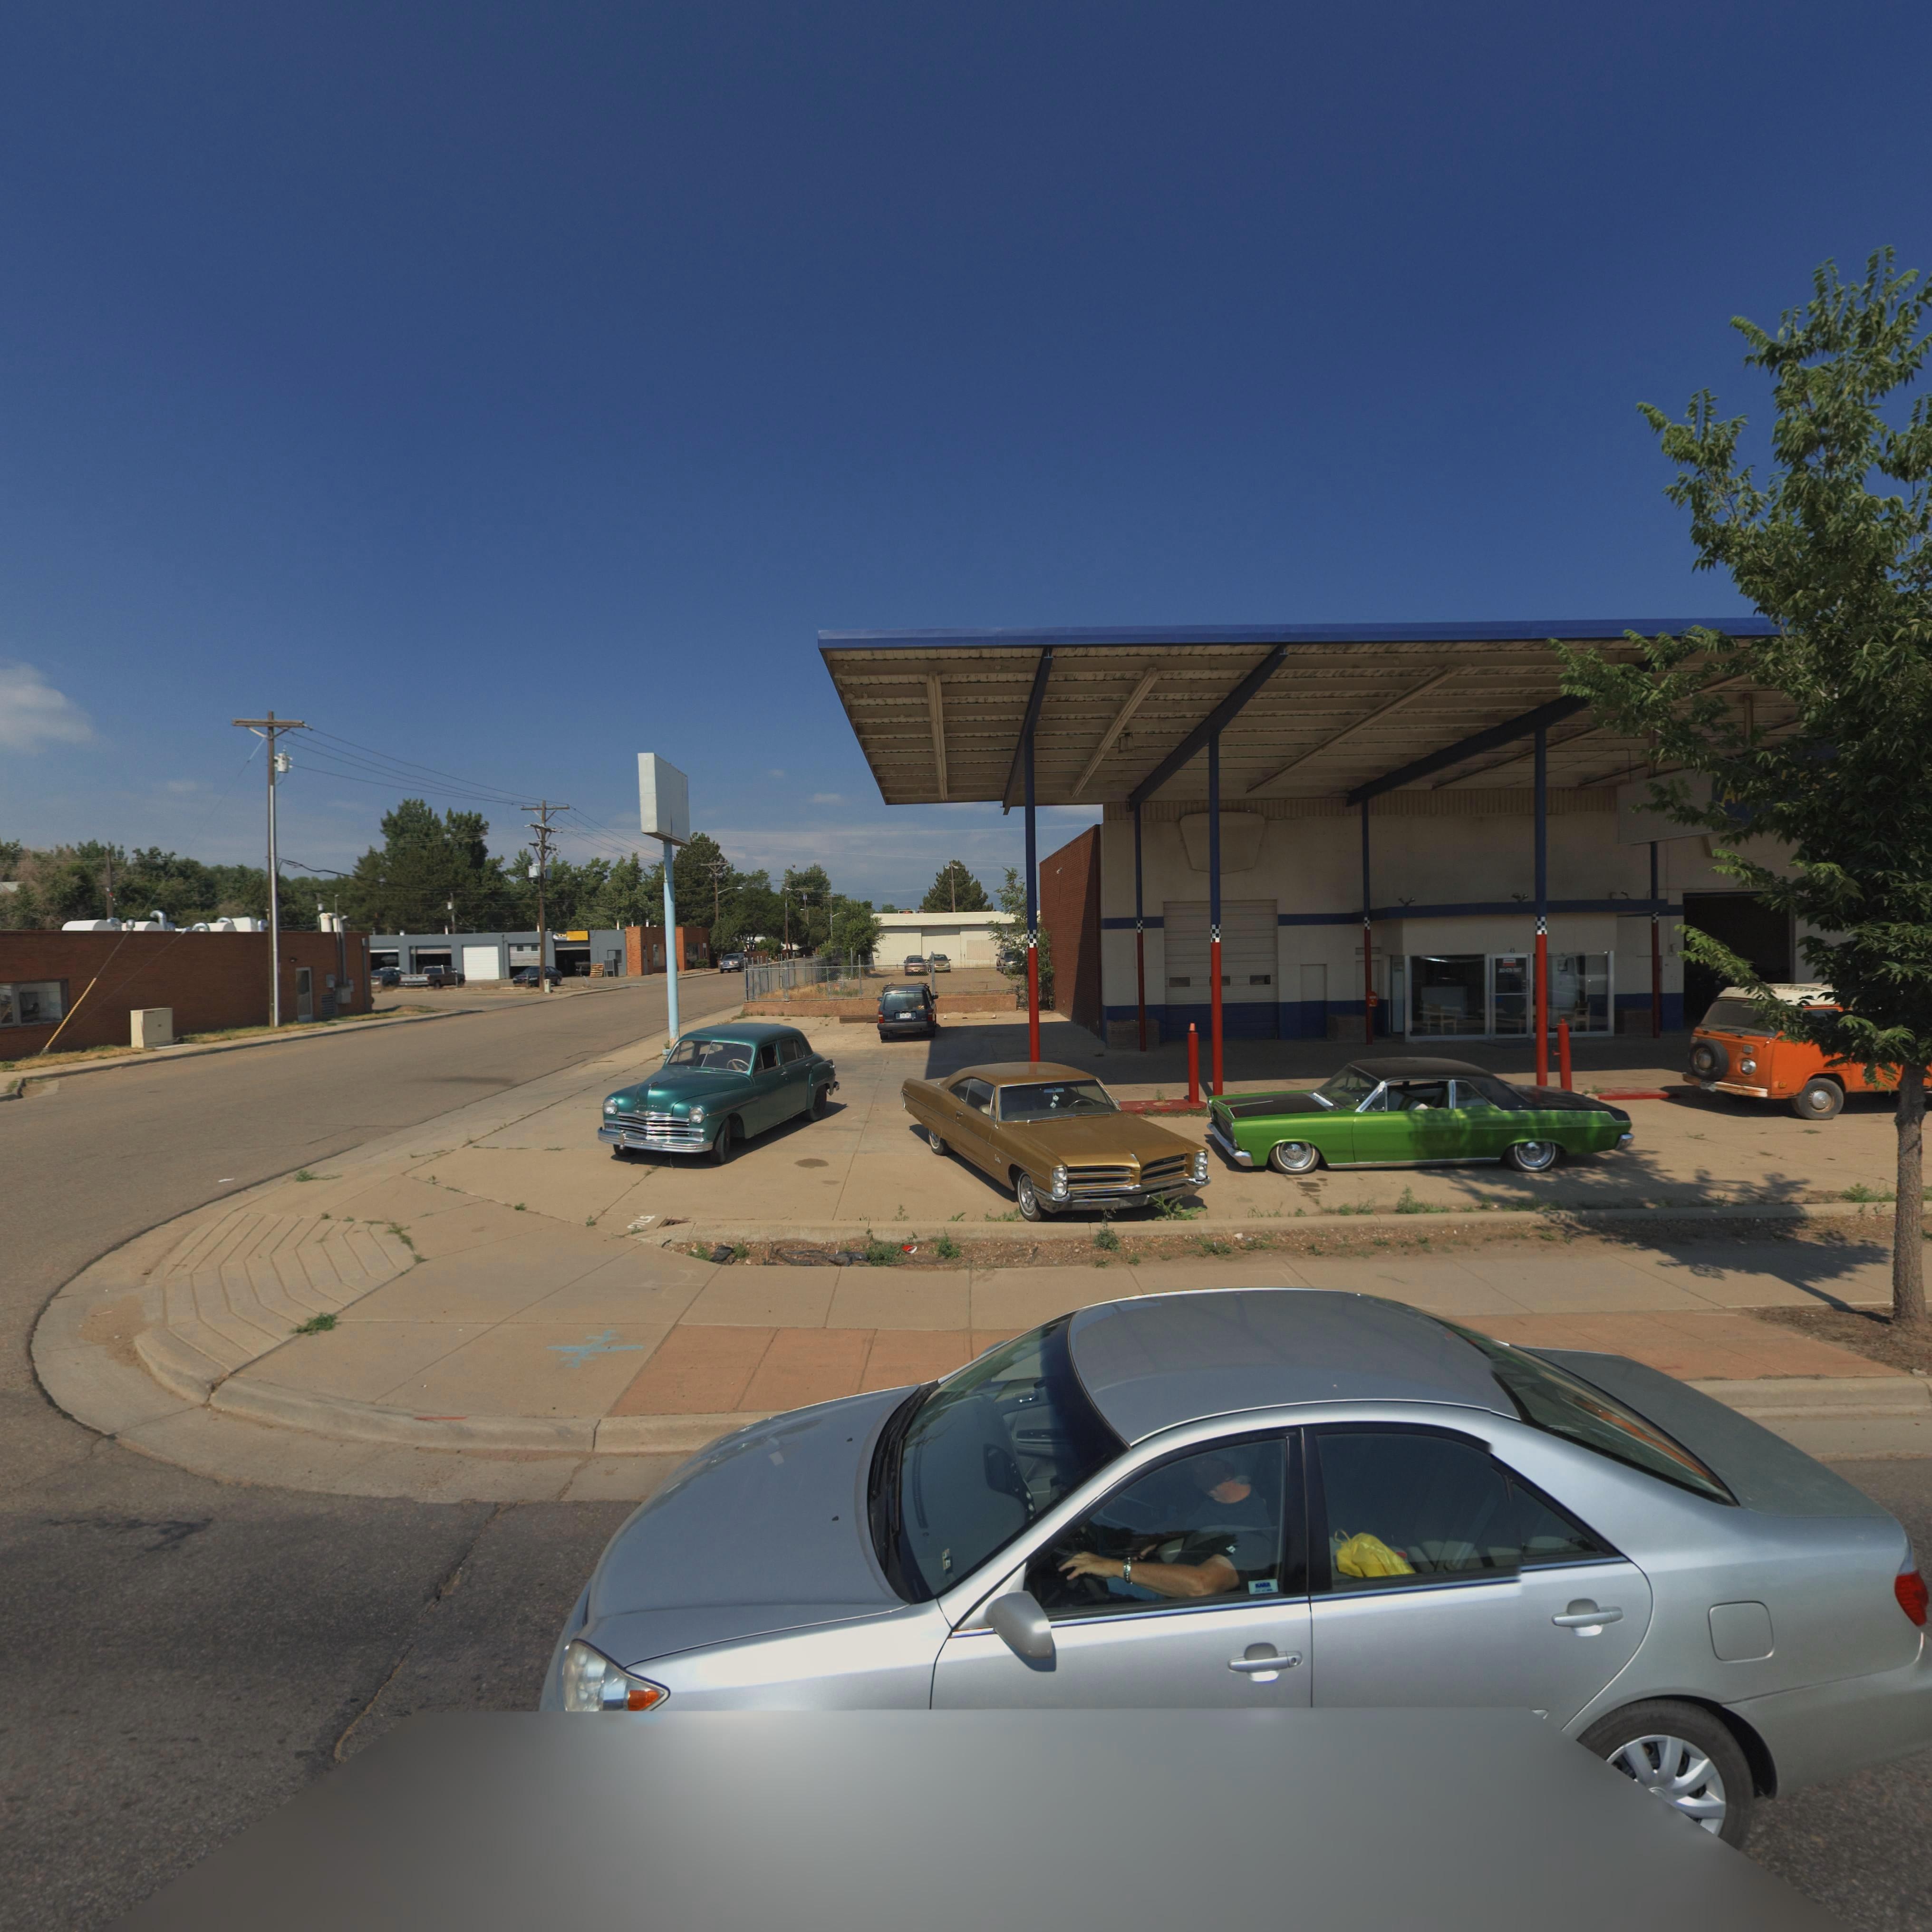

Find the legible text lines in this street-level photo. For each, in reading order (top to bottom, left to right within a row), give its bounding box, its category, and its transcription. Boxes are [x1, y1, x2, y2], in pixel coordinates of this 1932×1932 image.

[1509, 947, 1515, 953] StreetNumber: 45